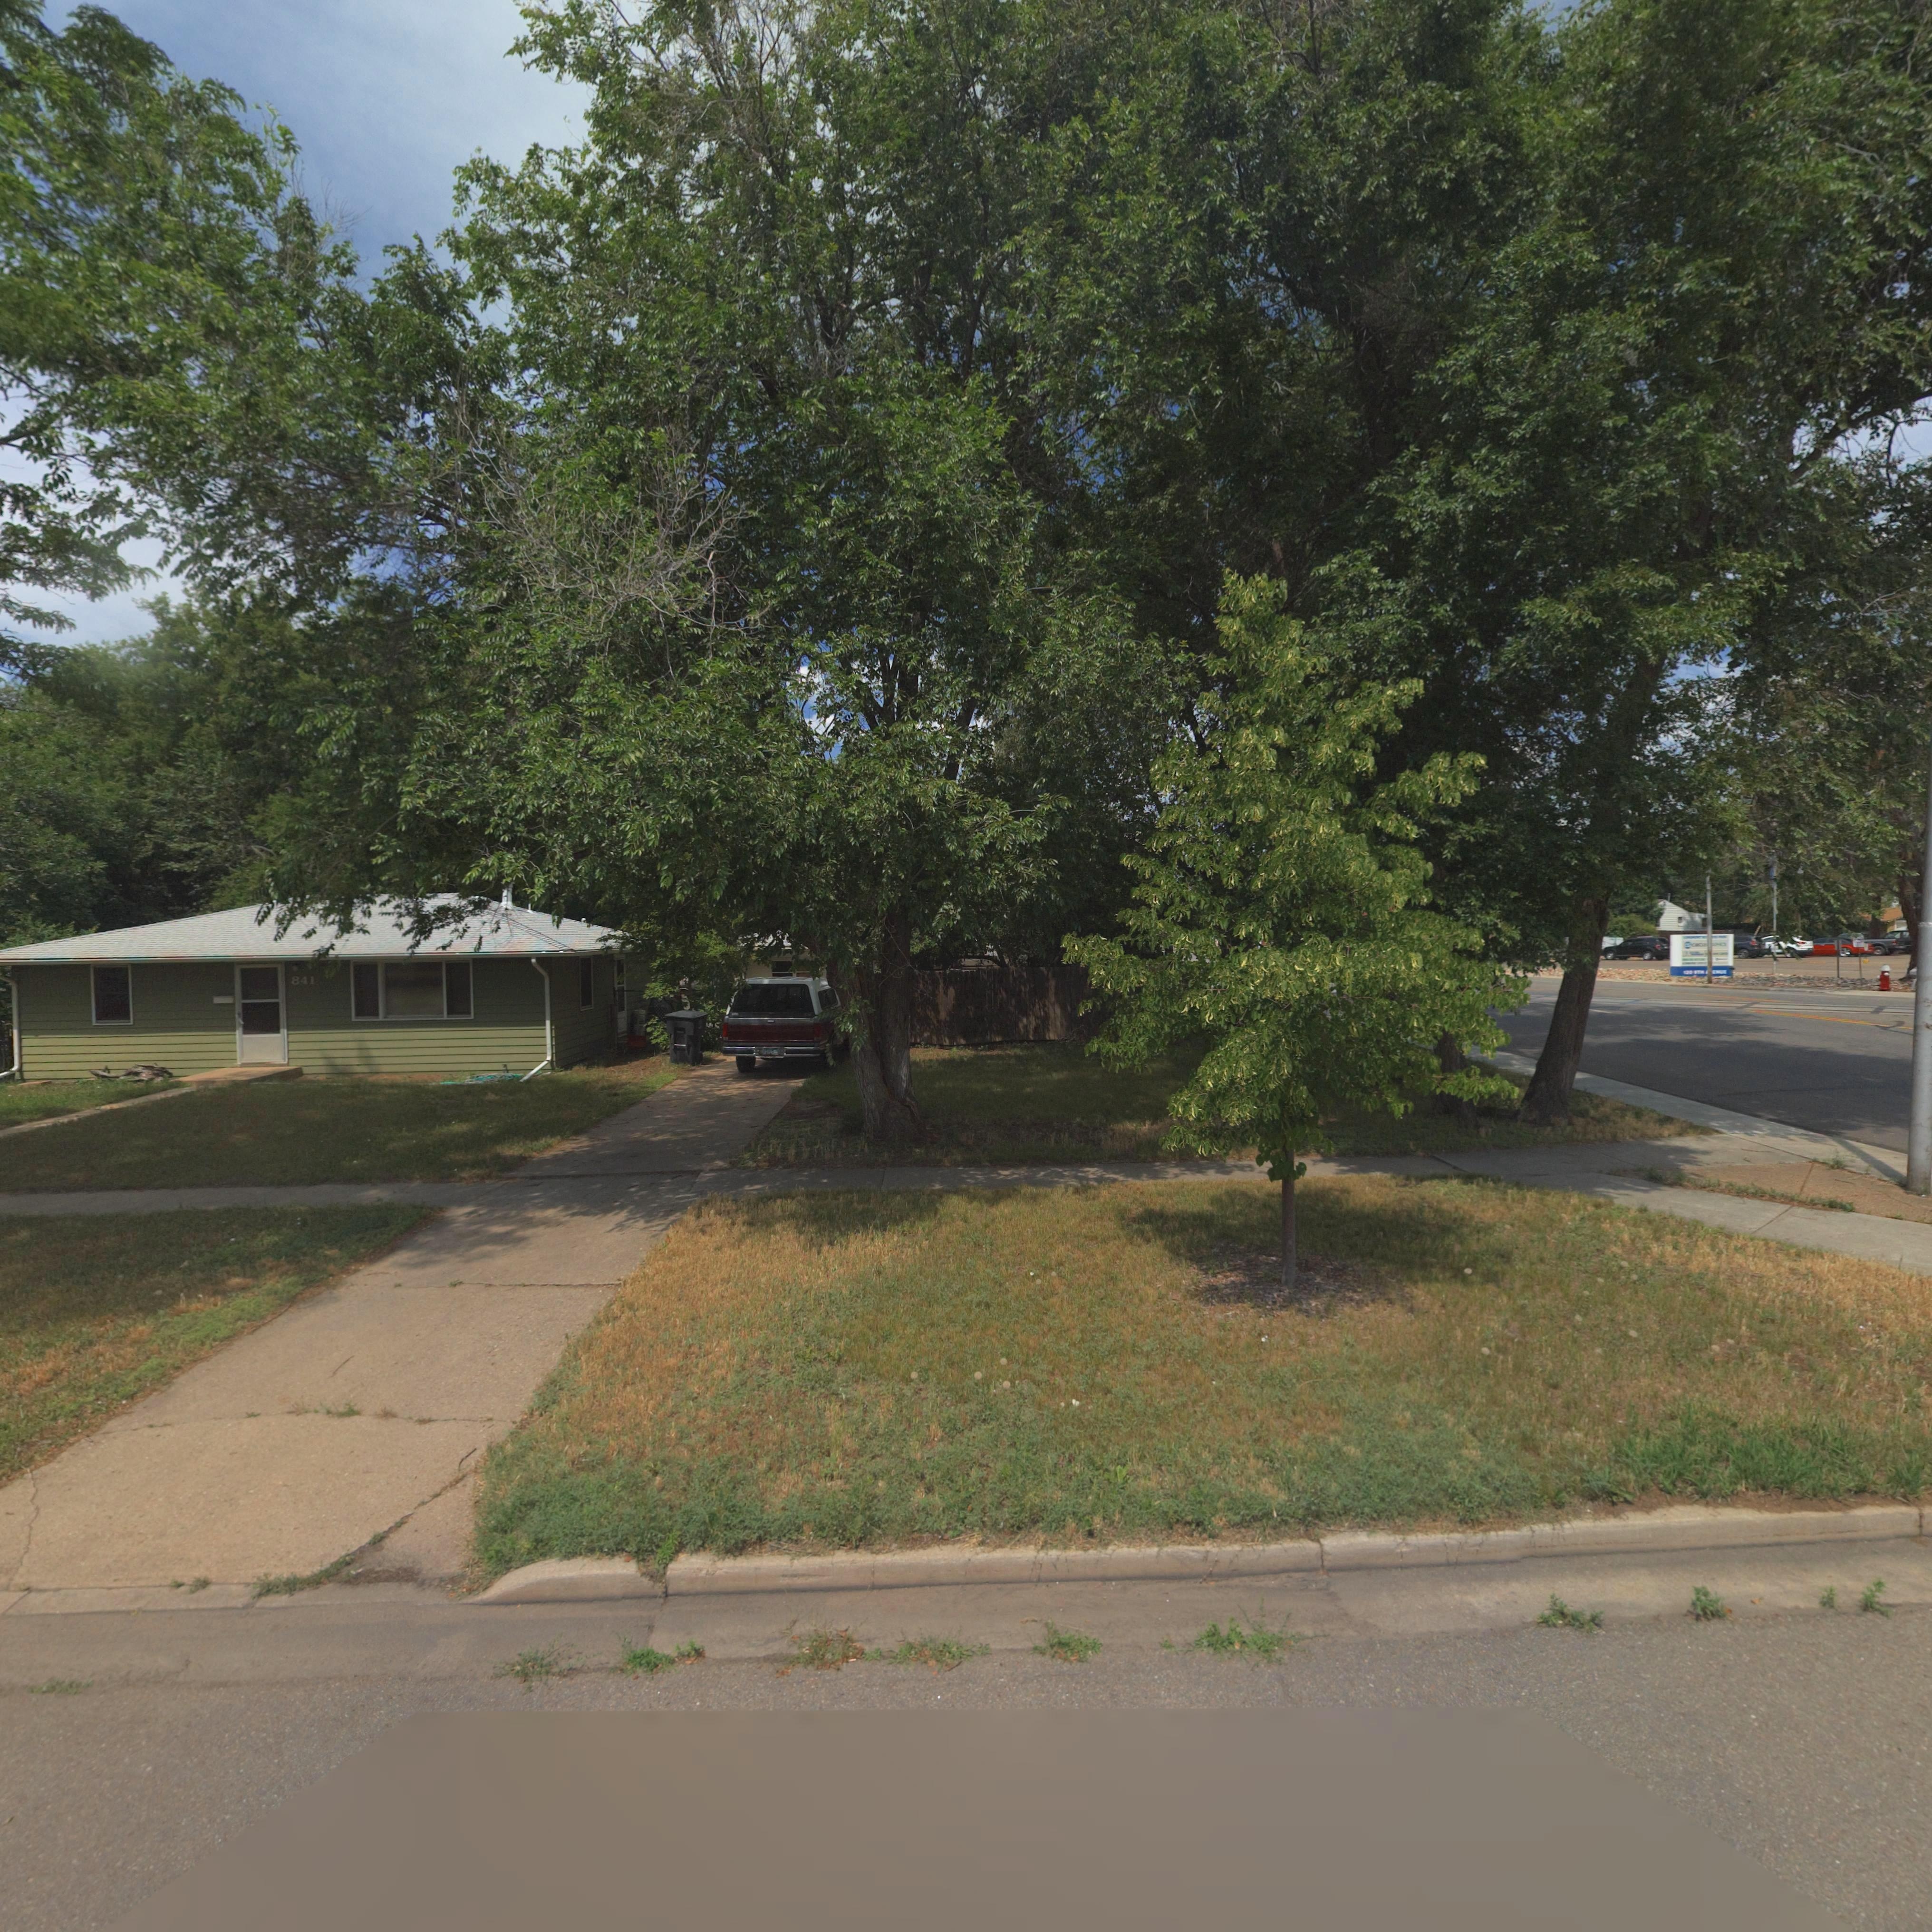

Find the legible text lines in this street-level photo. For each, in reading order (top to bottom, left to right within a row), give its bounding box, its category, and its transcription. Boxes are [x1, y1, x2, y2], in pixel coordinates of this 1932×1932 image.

[1691, 942, 1726, 947] BusinessName: C**********O
[1682, 970, 1693, 975] StreetNumber: 120
[1693, 969, 1705, 974] StreetName: 9TH
[290, 975, 315, 985] StreetNumber: 841